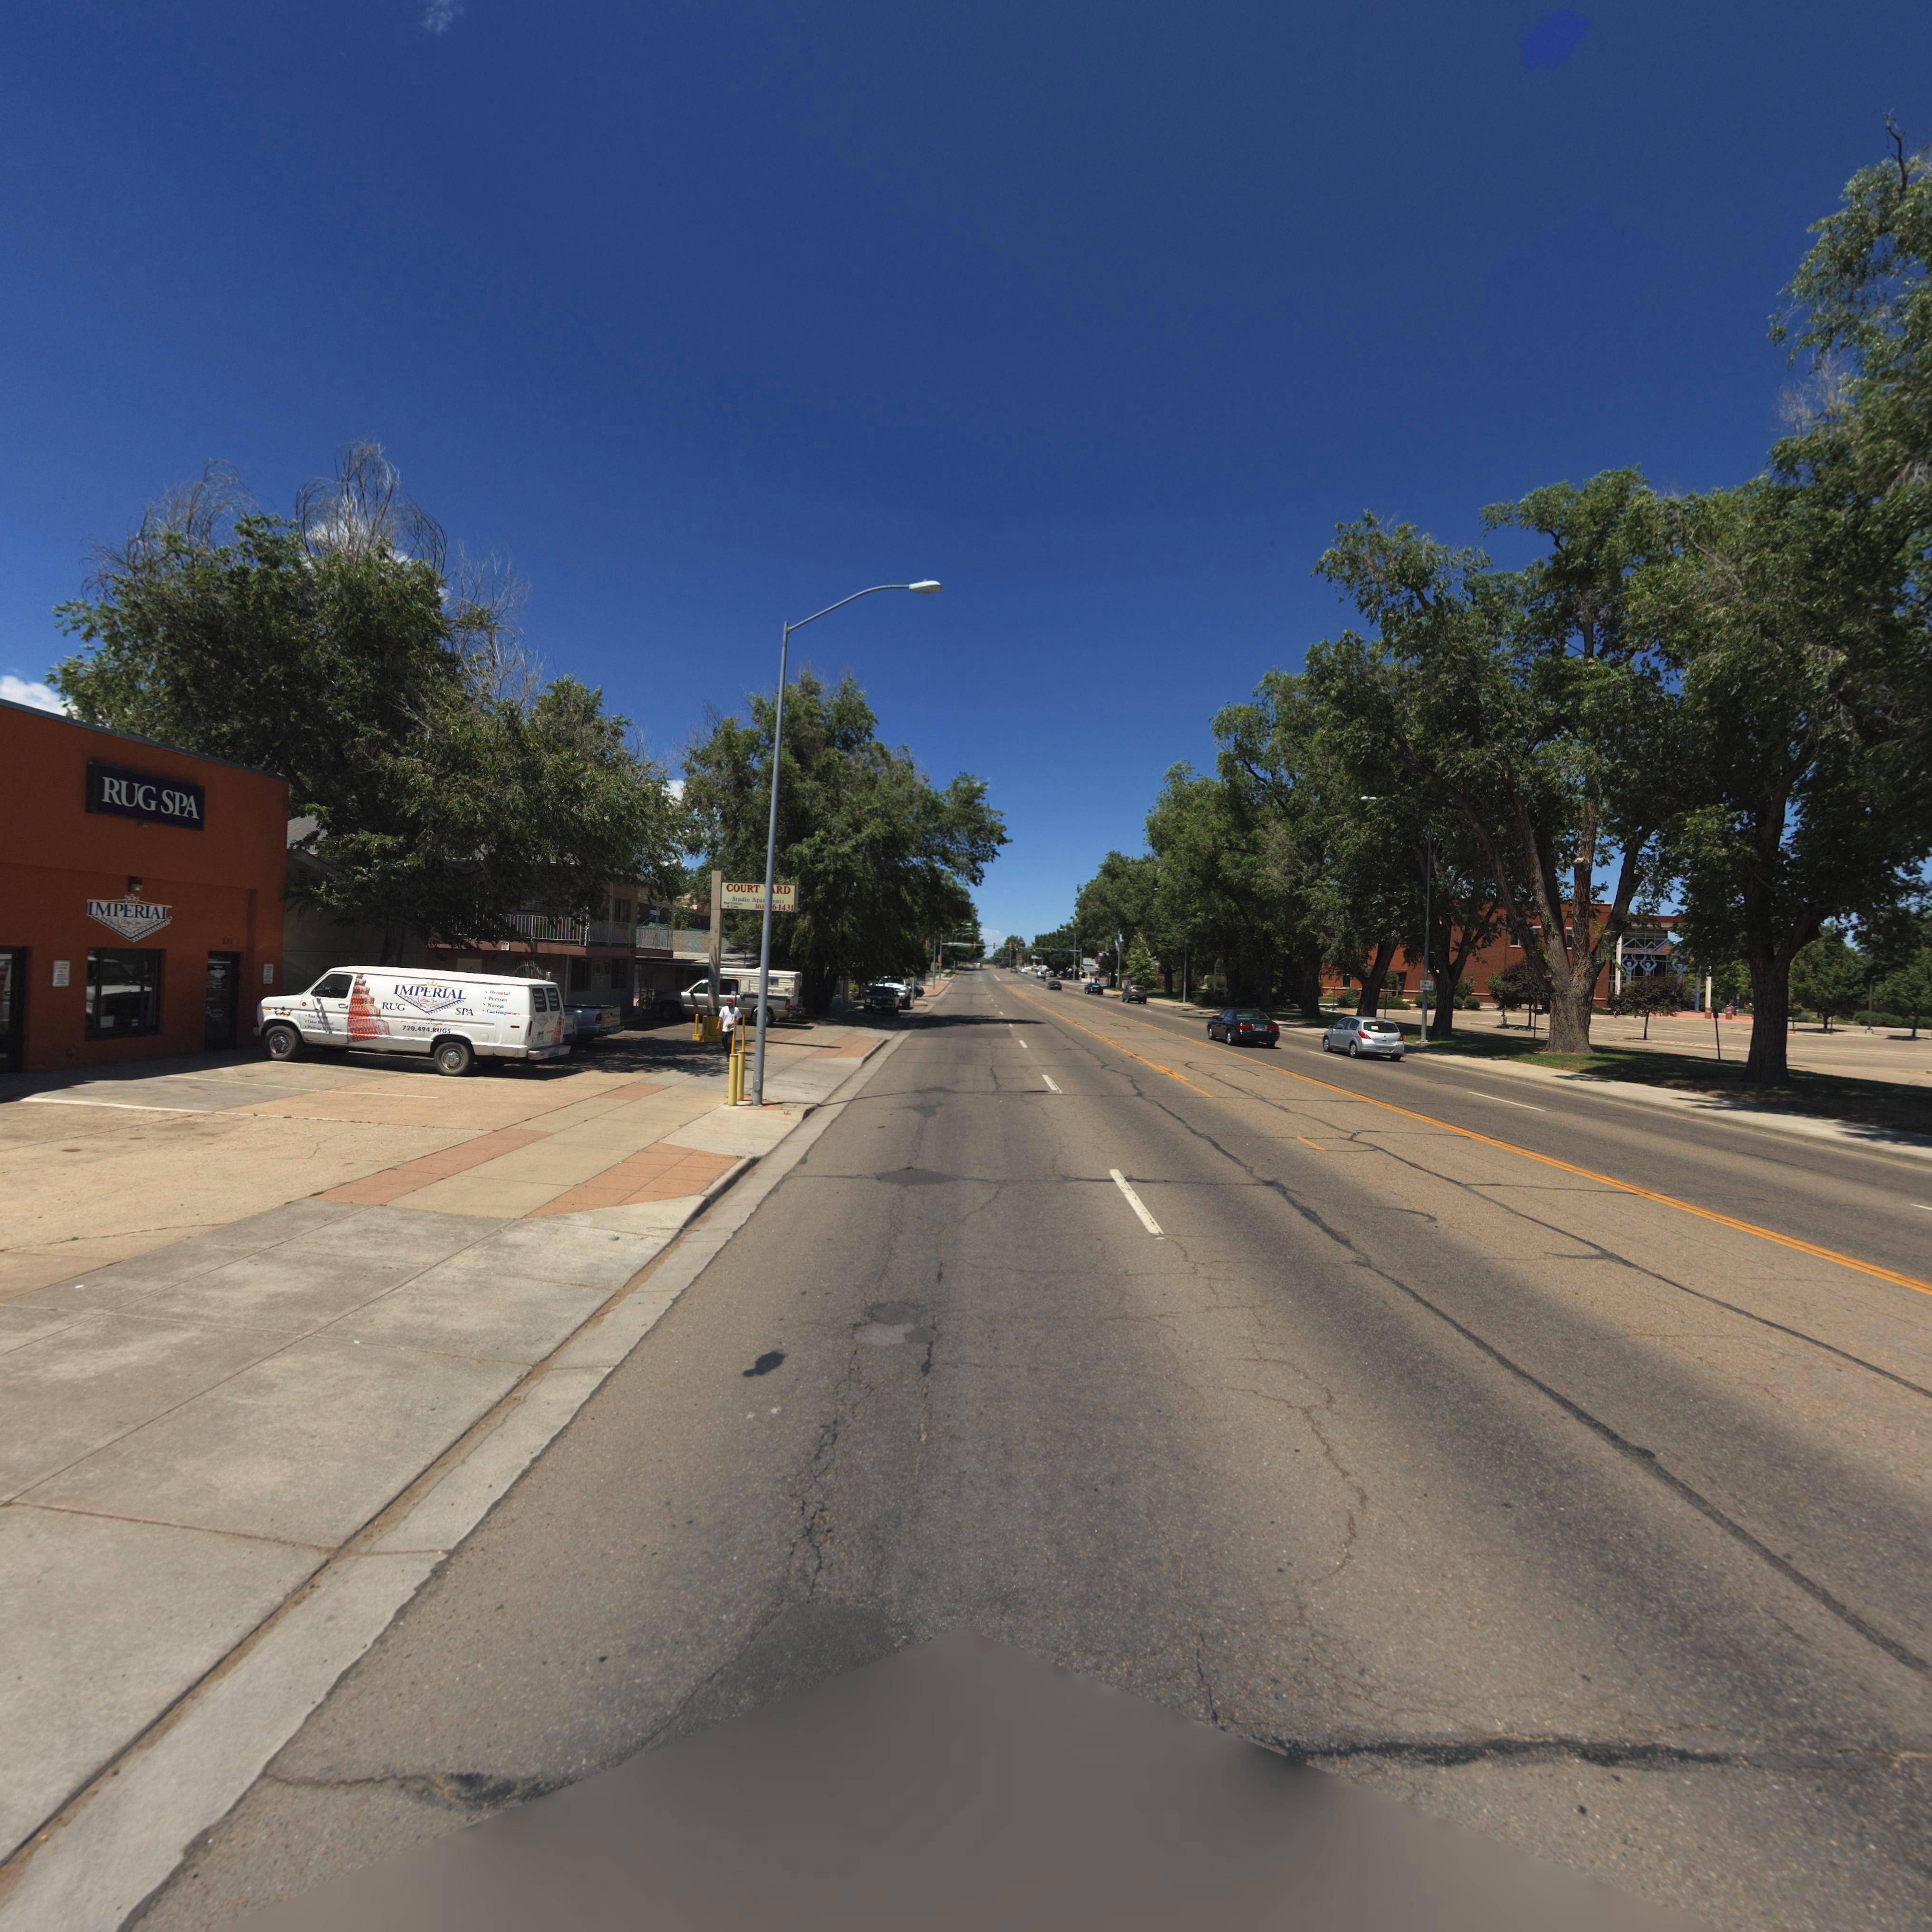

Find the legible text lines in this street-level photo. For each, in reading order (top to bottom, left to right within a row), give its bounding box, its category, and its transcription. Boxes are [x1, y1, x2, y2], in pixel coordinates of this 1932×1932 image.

[100, 775, 200, 820] BusinessName: RUG SPA
[726, 883, 791, 894] BusinessName: COURT **RD
[731, 896, 784, 904] BusinessName: Studio Apar**ments
[87, 901, 172, 920] BusinessName: IMPERIAL
[120, 918, 142, 927] BusinessName: Rug Spa
[222, 937, 233, 944] StreetNumber: 1011
[629, 948, 637, 954] StreetNumber: 1***